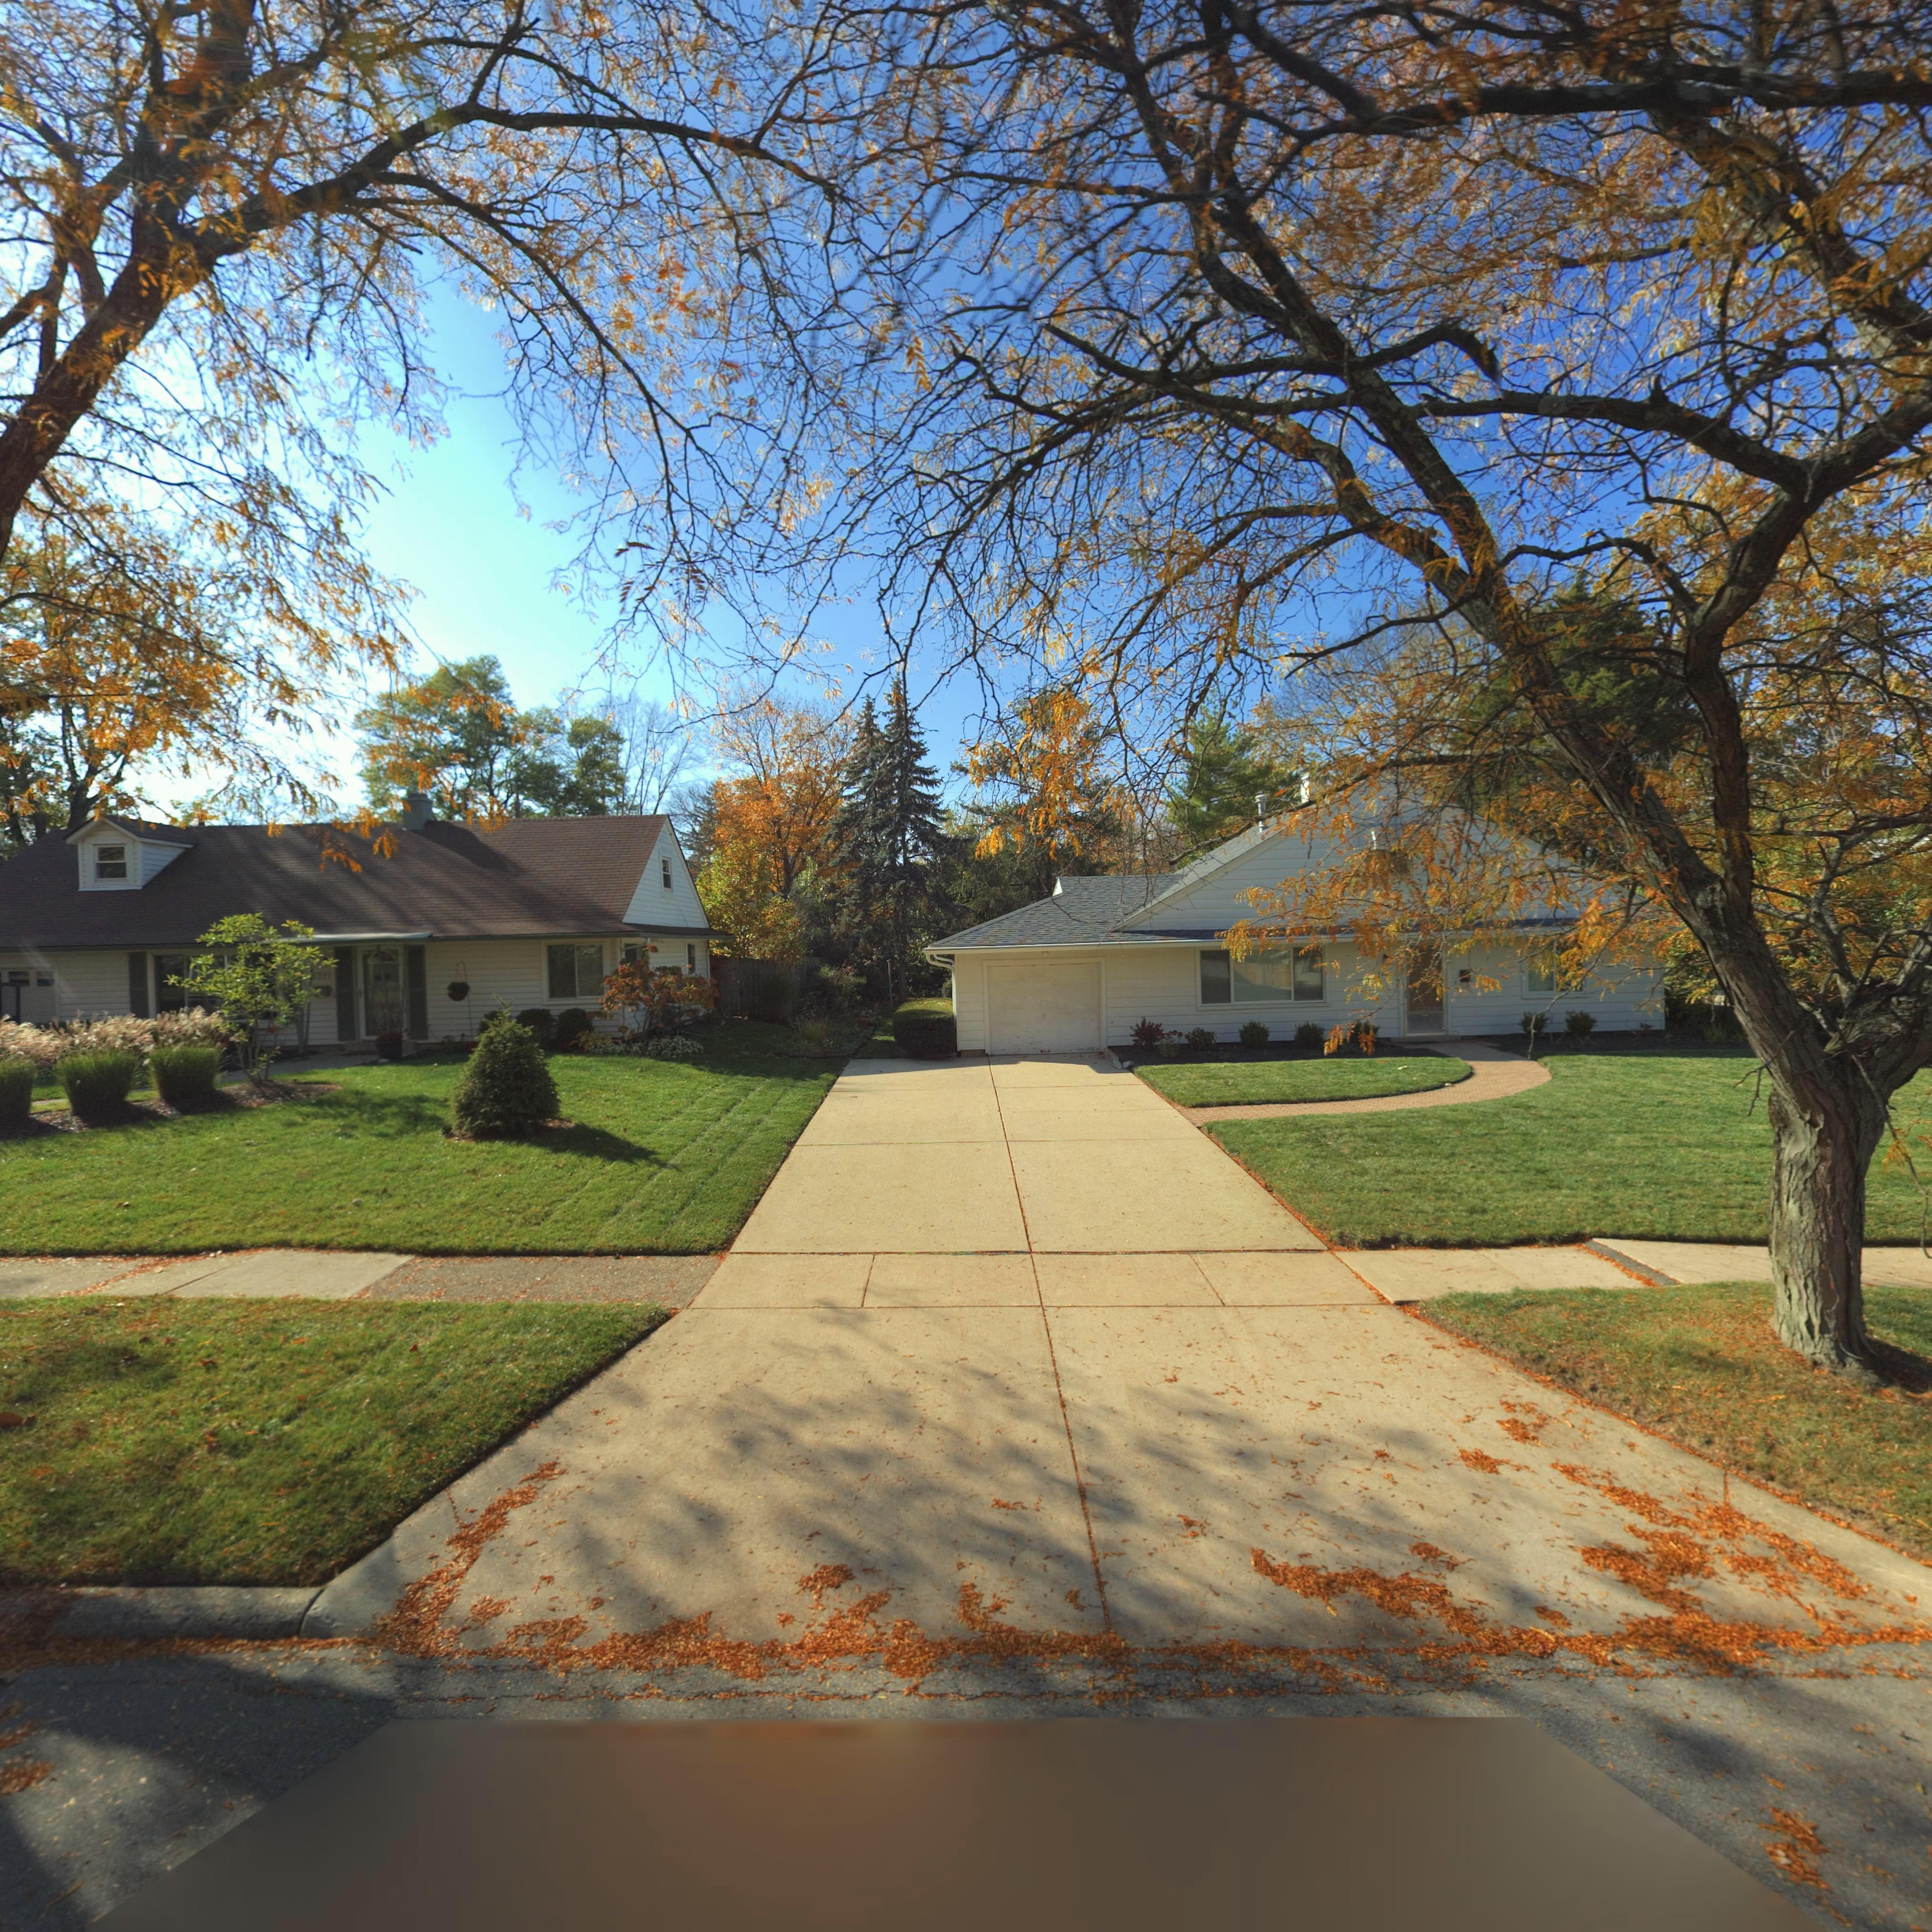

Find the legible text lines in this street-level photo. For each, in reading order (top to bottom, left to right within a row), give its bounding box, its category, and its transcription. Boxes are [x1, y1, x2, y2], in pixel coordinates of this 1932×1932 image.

[315, 971, 331, 980] StreetNumber: 711